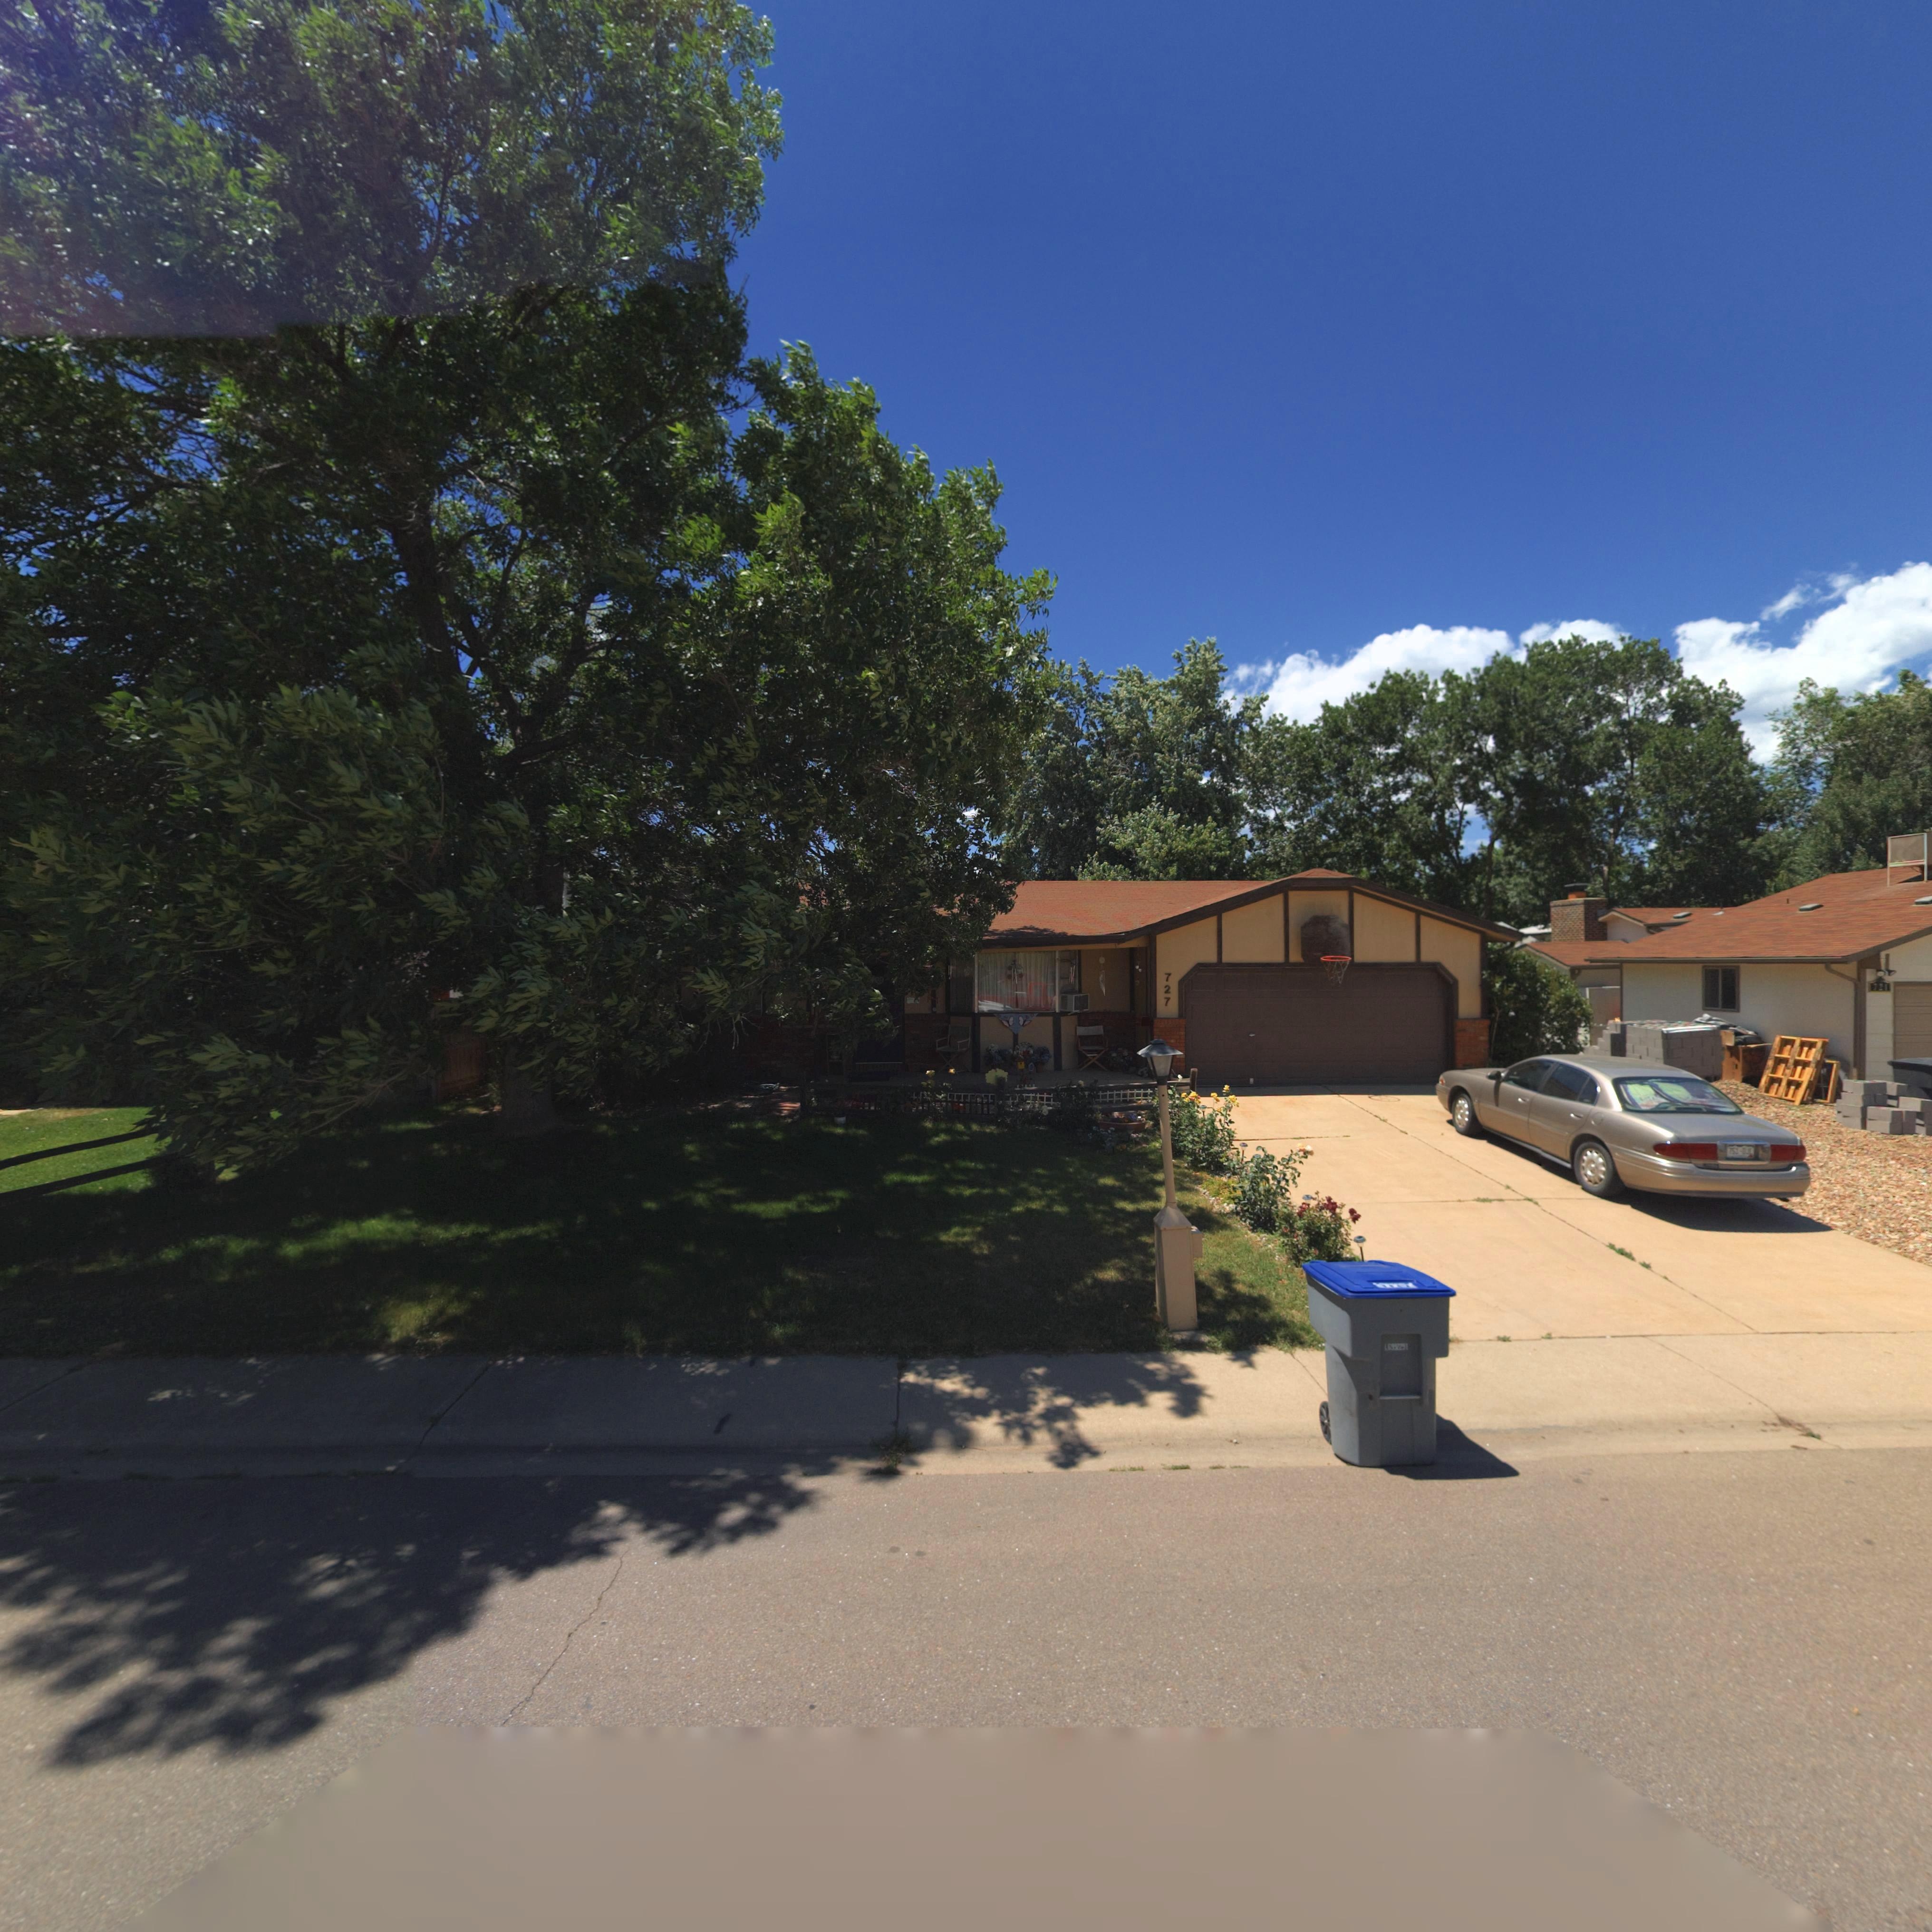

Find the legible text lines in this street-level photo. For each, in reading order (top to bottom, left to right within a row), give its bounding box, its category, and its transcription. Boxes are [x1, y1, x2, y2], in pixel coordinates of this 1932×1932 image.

[1163, 972, 1172, 1007] StreetNumber: 727